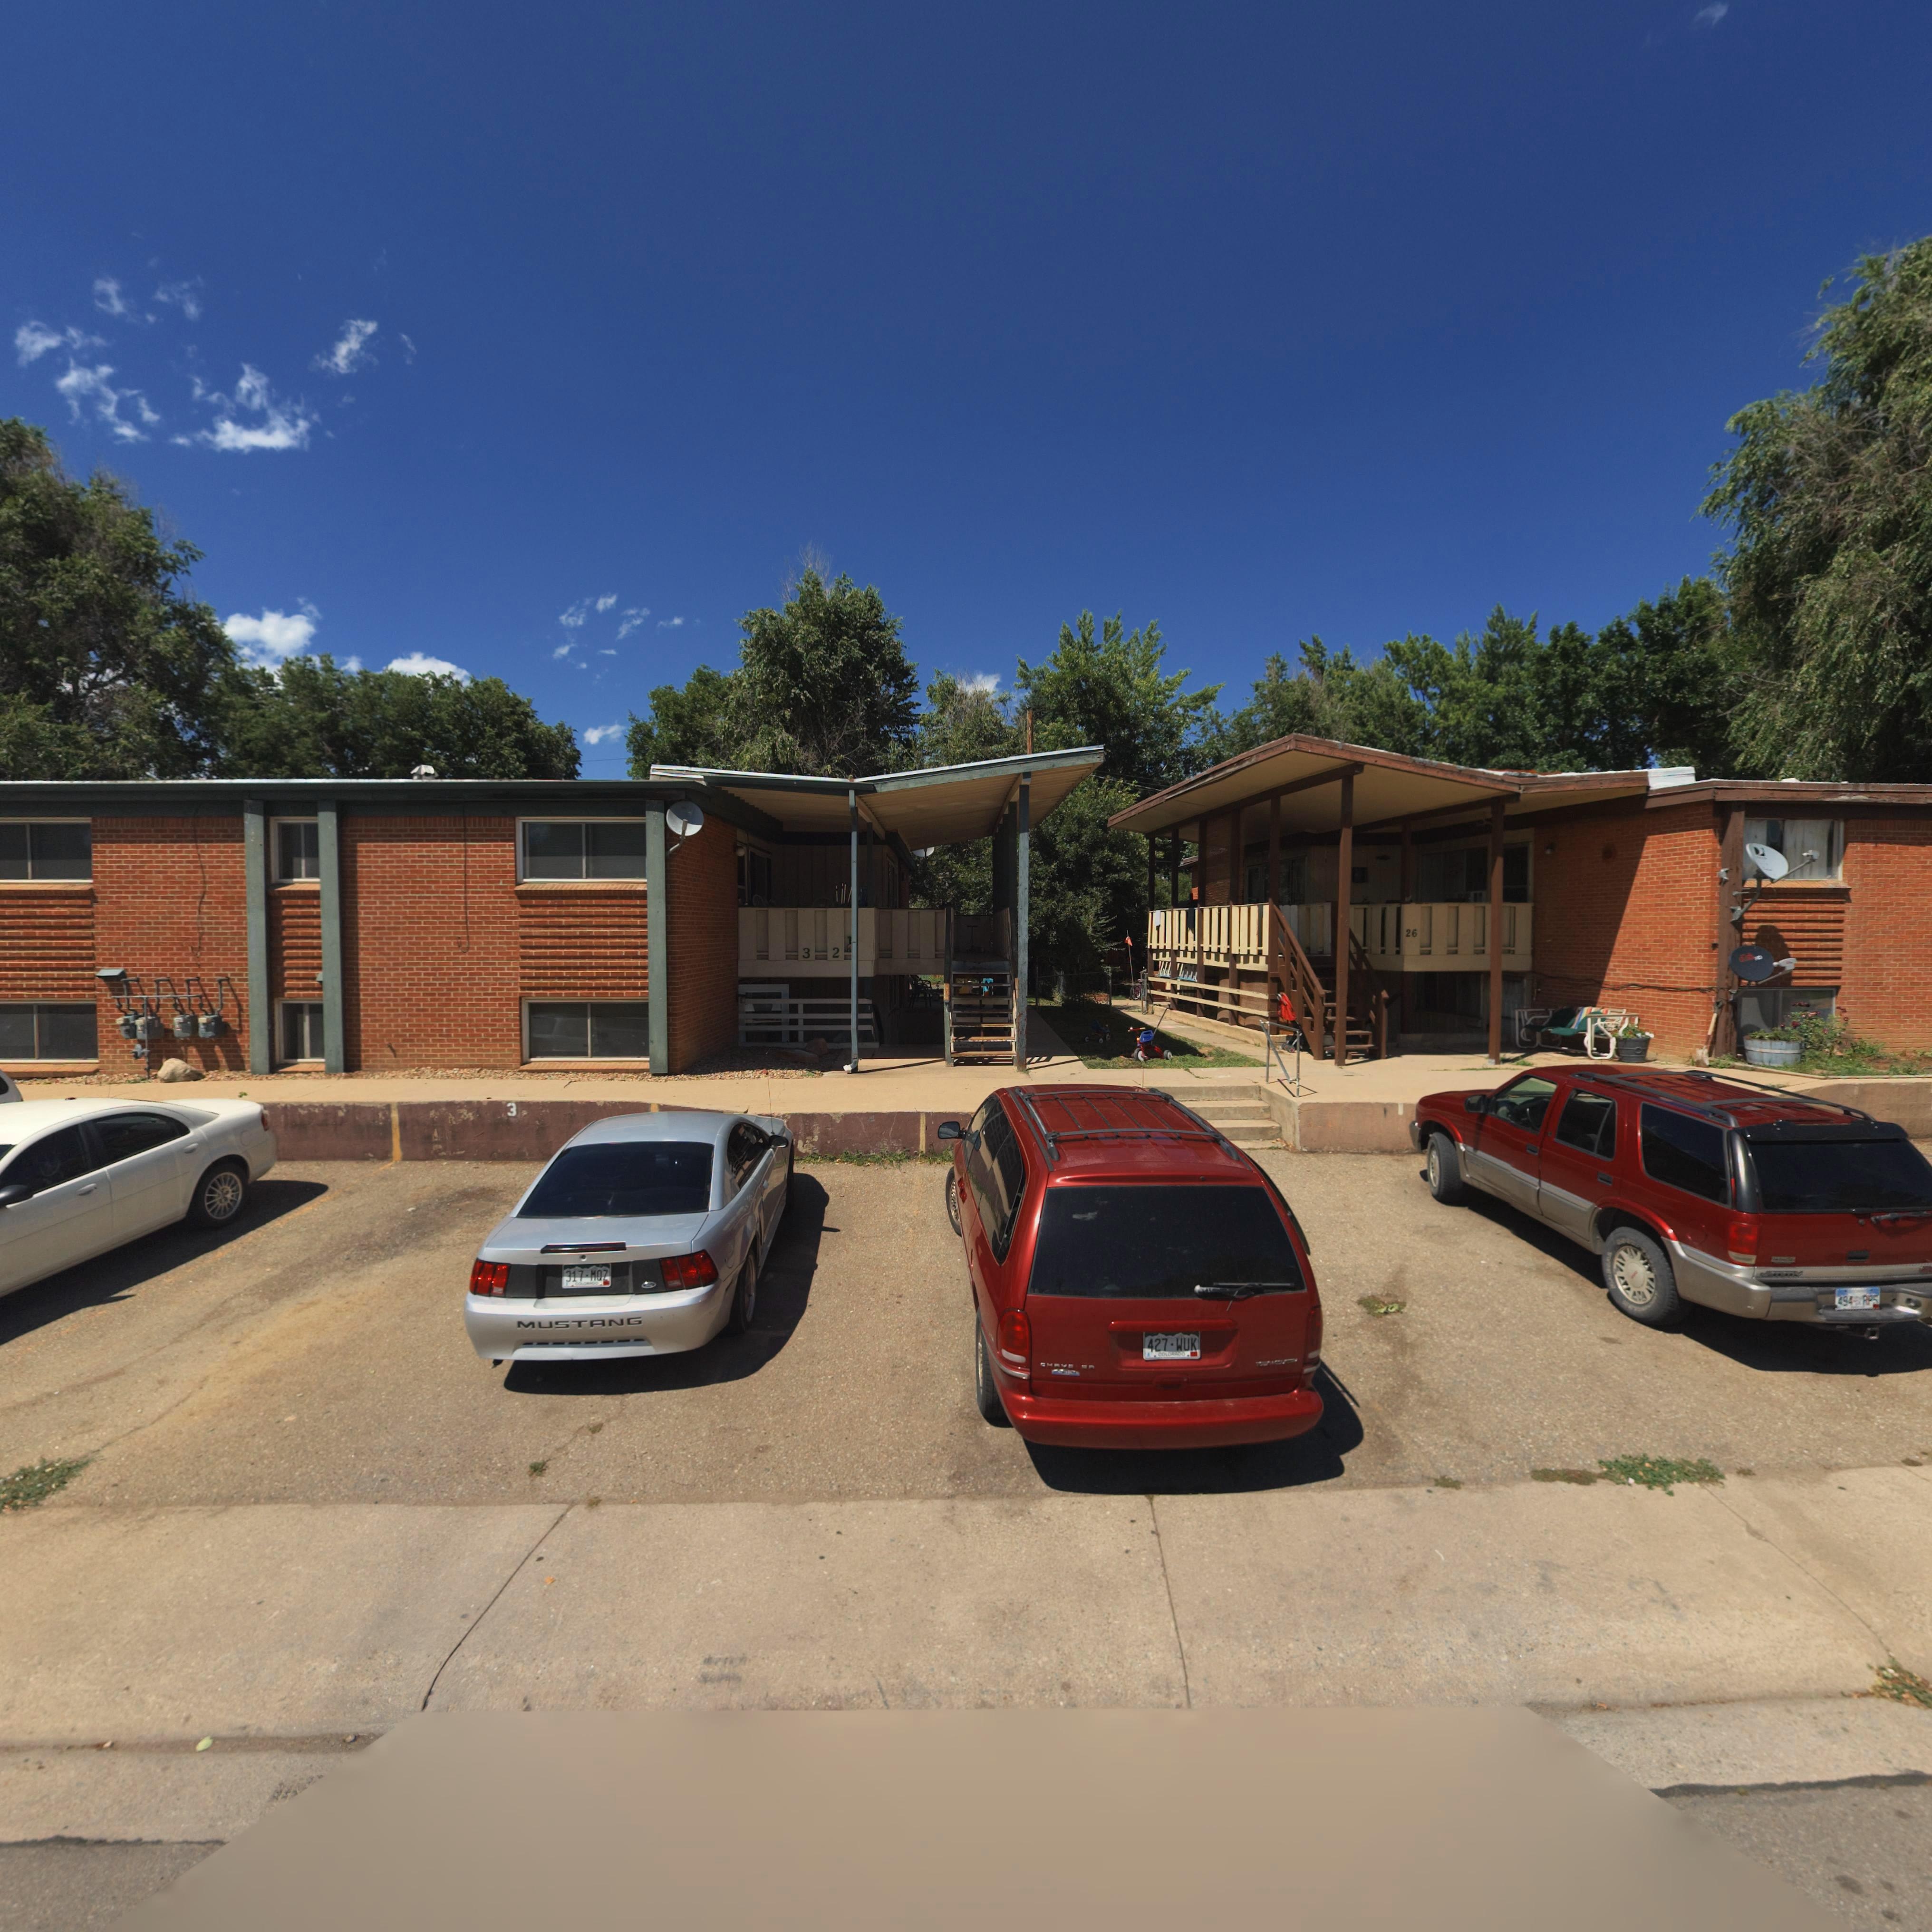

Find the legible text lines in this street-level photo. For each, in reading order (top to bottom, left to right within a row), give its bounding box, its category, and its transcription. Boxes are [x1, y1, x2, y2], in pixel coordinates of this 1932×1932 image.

[1406, 928, 1417, 937] StreetNumber: 26
[802, 947, 840, 958] StreetNumber: 3 2